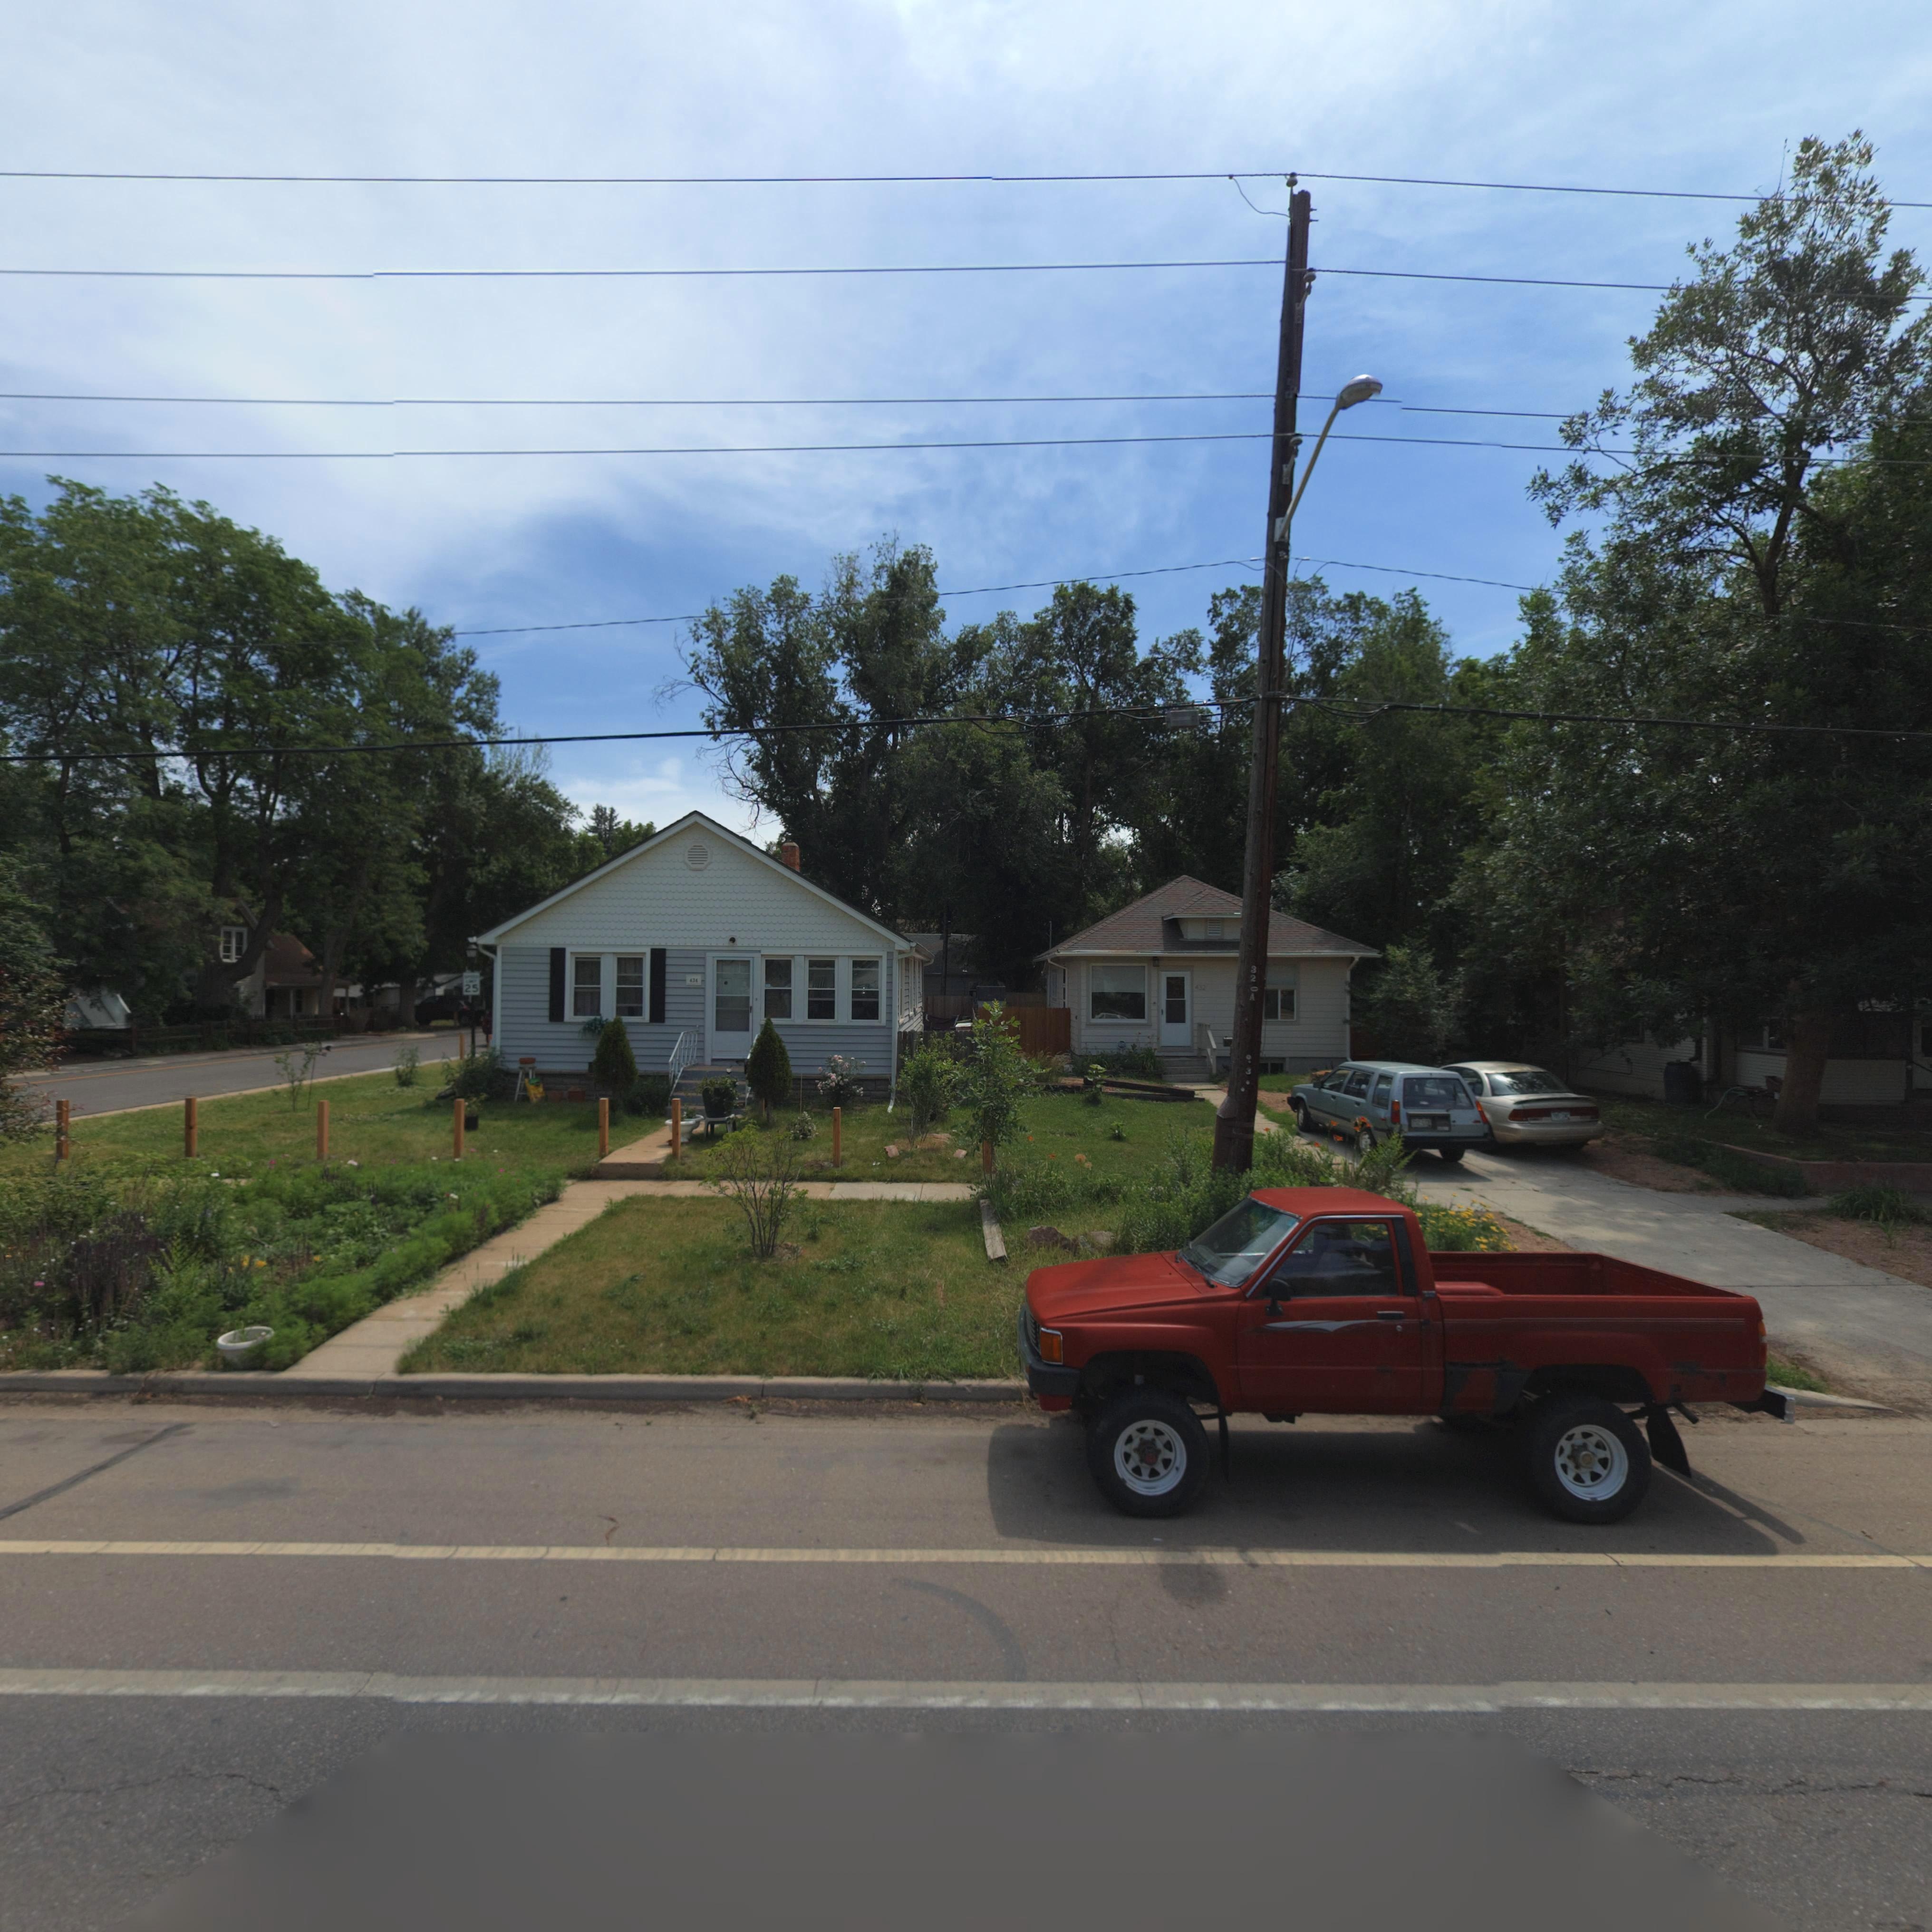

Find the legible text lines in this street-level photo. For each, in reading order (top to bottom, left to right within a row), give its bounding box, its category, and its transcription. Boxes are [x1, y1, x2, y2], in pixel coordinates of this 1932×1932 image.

[689, 977, 698, 982] StreetNumber: 434
[1194, 984, 1206, 990] StreetNumber: 432